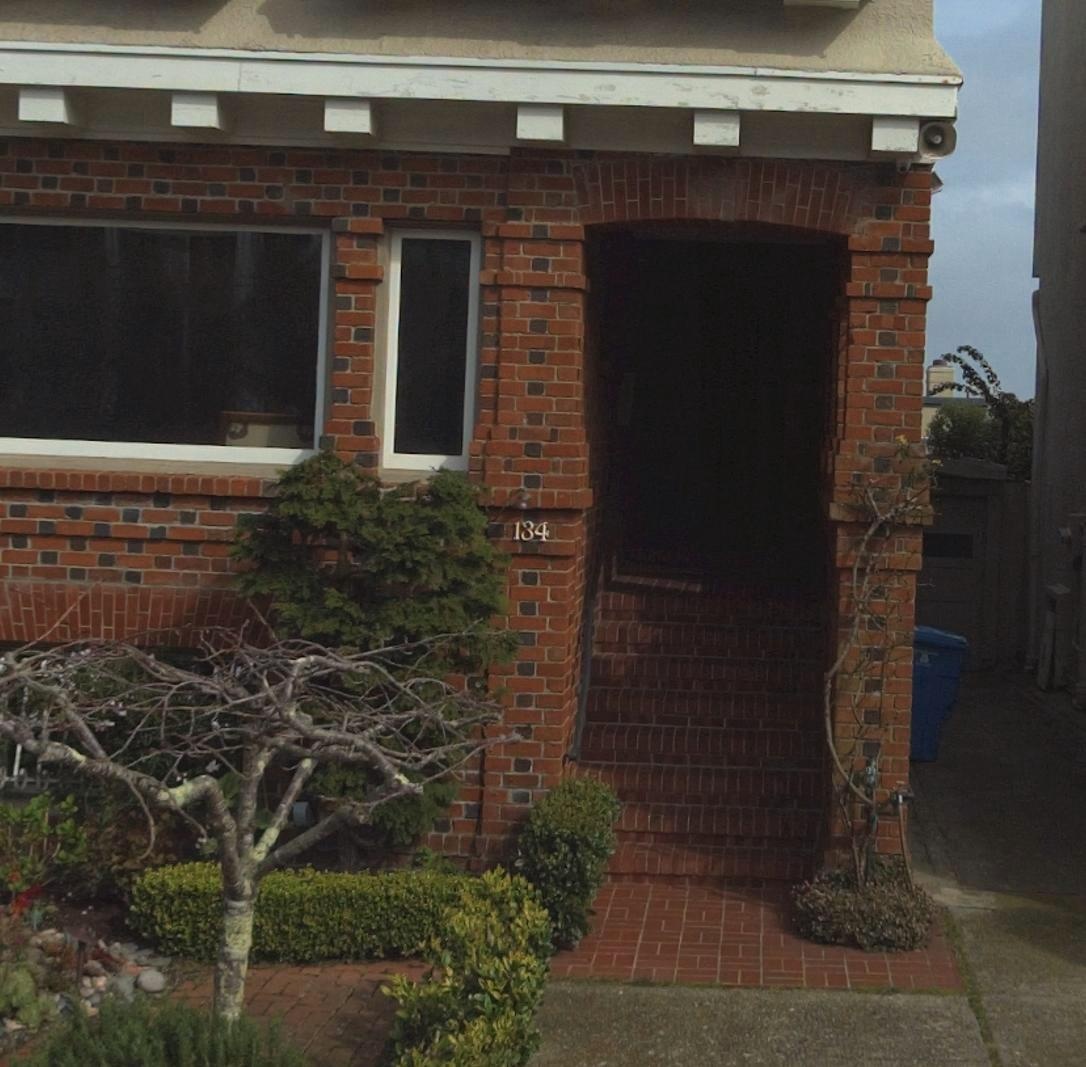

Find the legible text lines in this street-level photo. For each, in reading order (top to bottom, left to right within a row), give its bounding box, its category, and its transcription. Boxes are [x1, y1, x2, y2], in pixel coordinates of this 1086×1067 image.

[512, 520, 550, 541] StreetNumber: 134